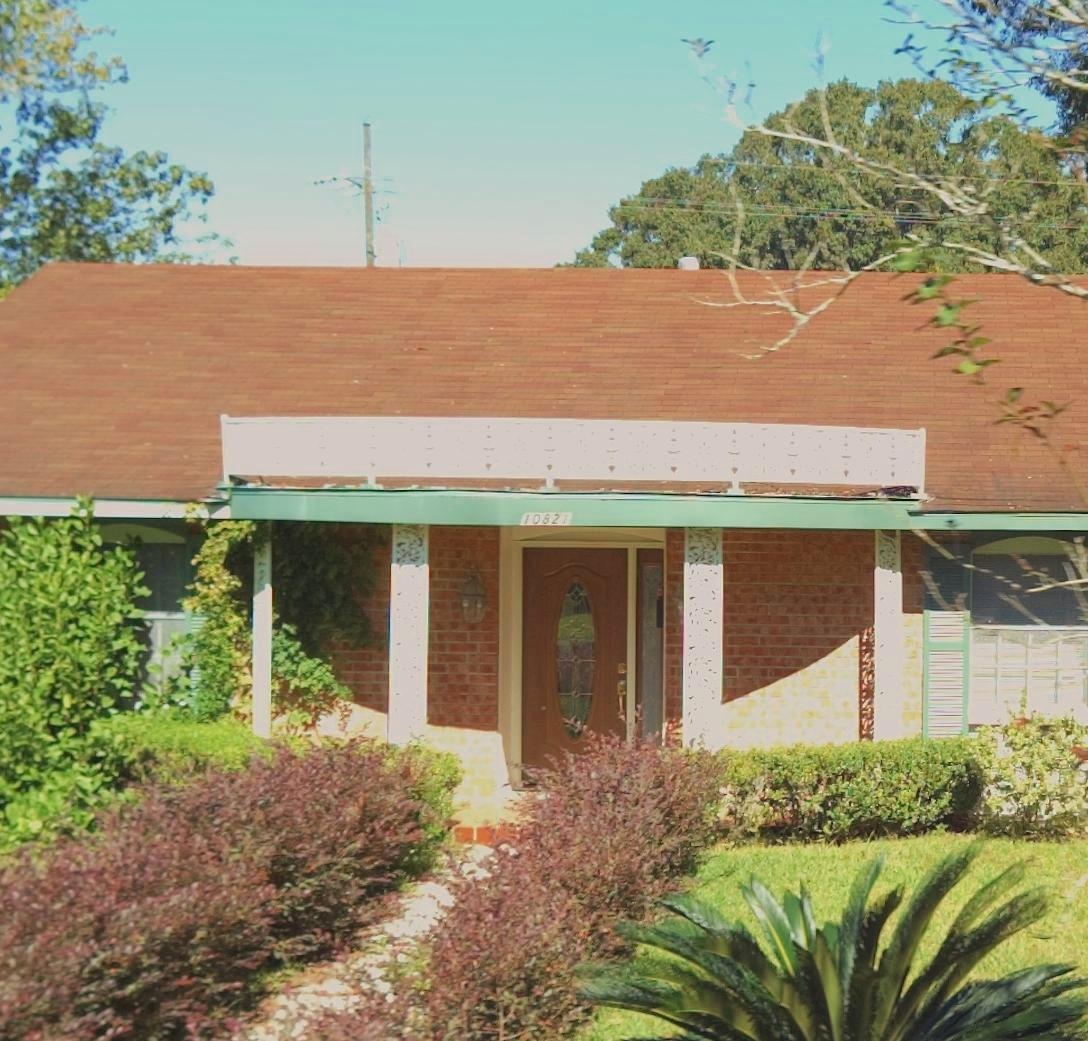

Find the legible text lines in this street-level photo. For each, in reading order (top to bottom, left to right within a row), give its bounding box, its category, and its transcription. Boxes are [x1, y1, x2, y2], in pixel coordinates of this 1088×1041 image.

[521, 512, 570, 526] StreetNumber: 10821